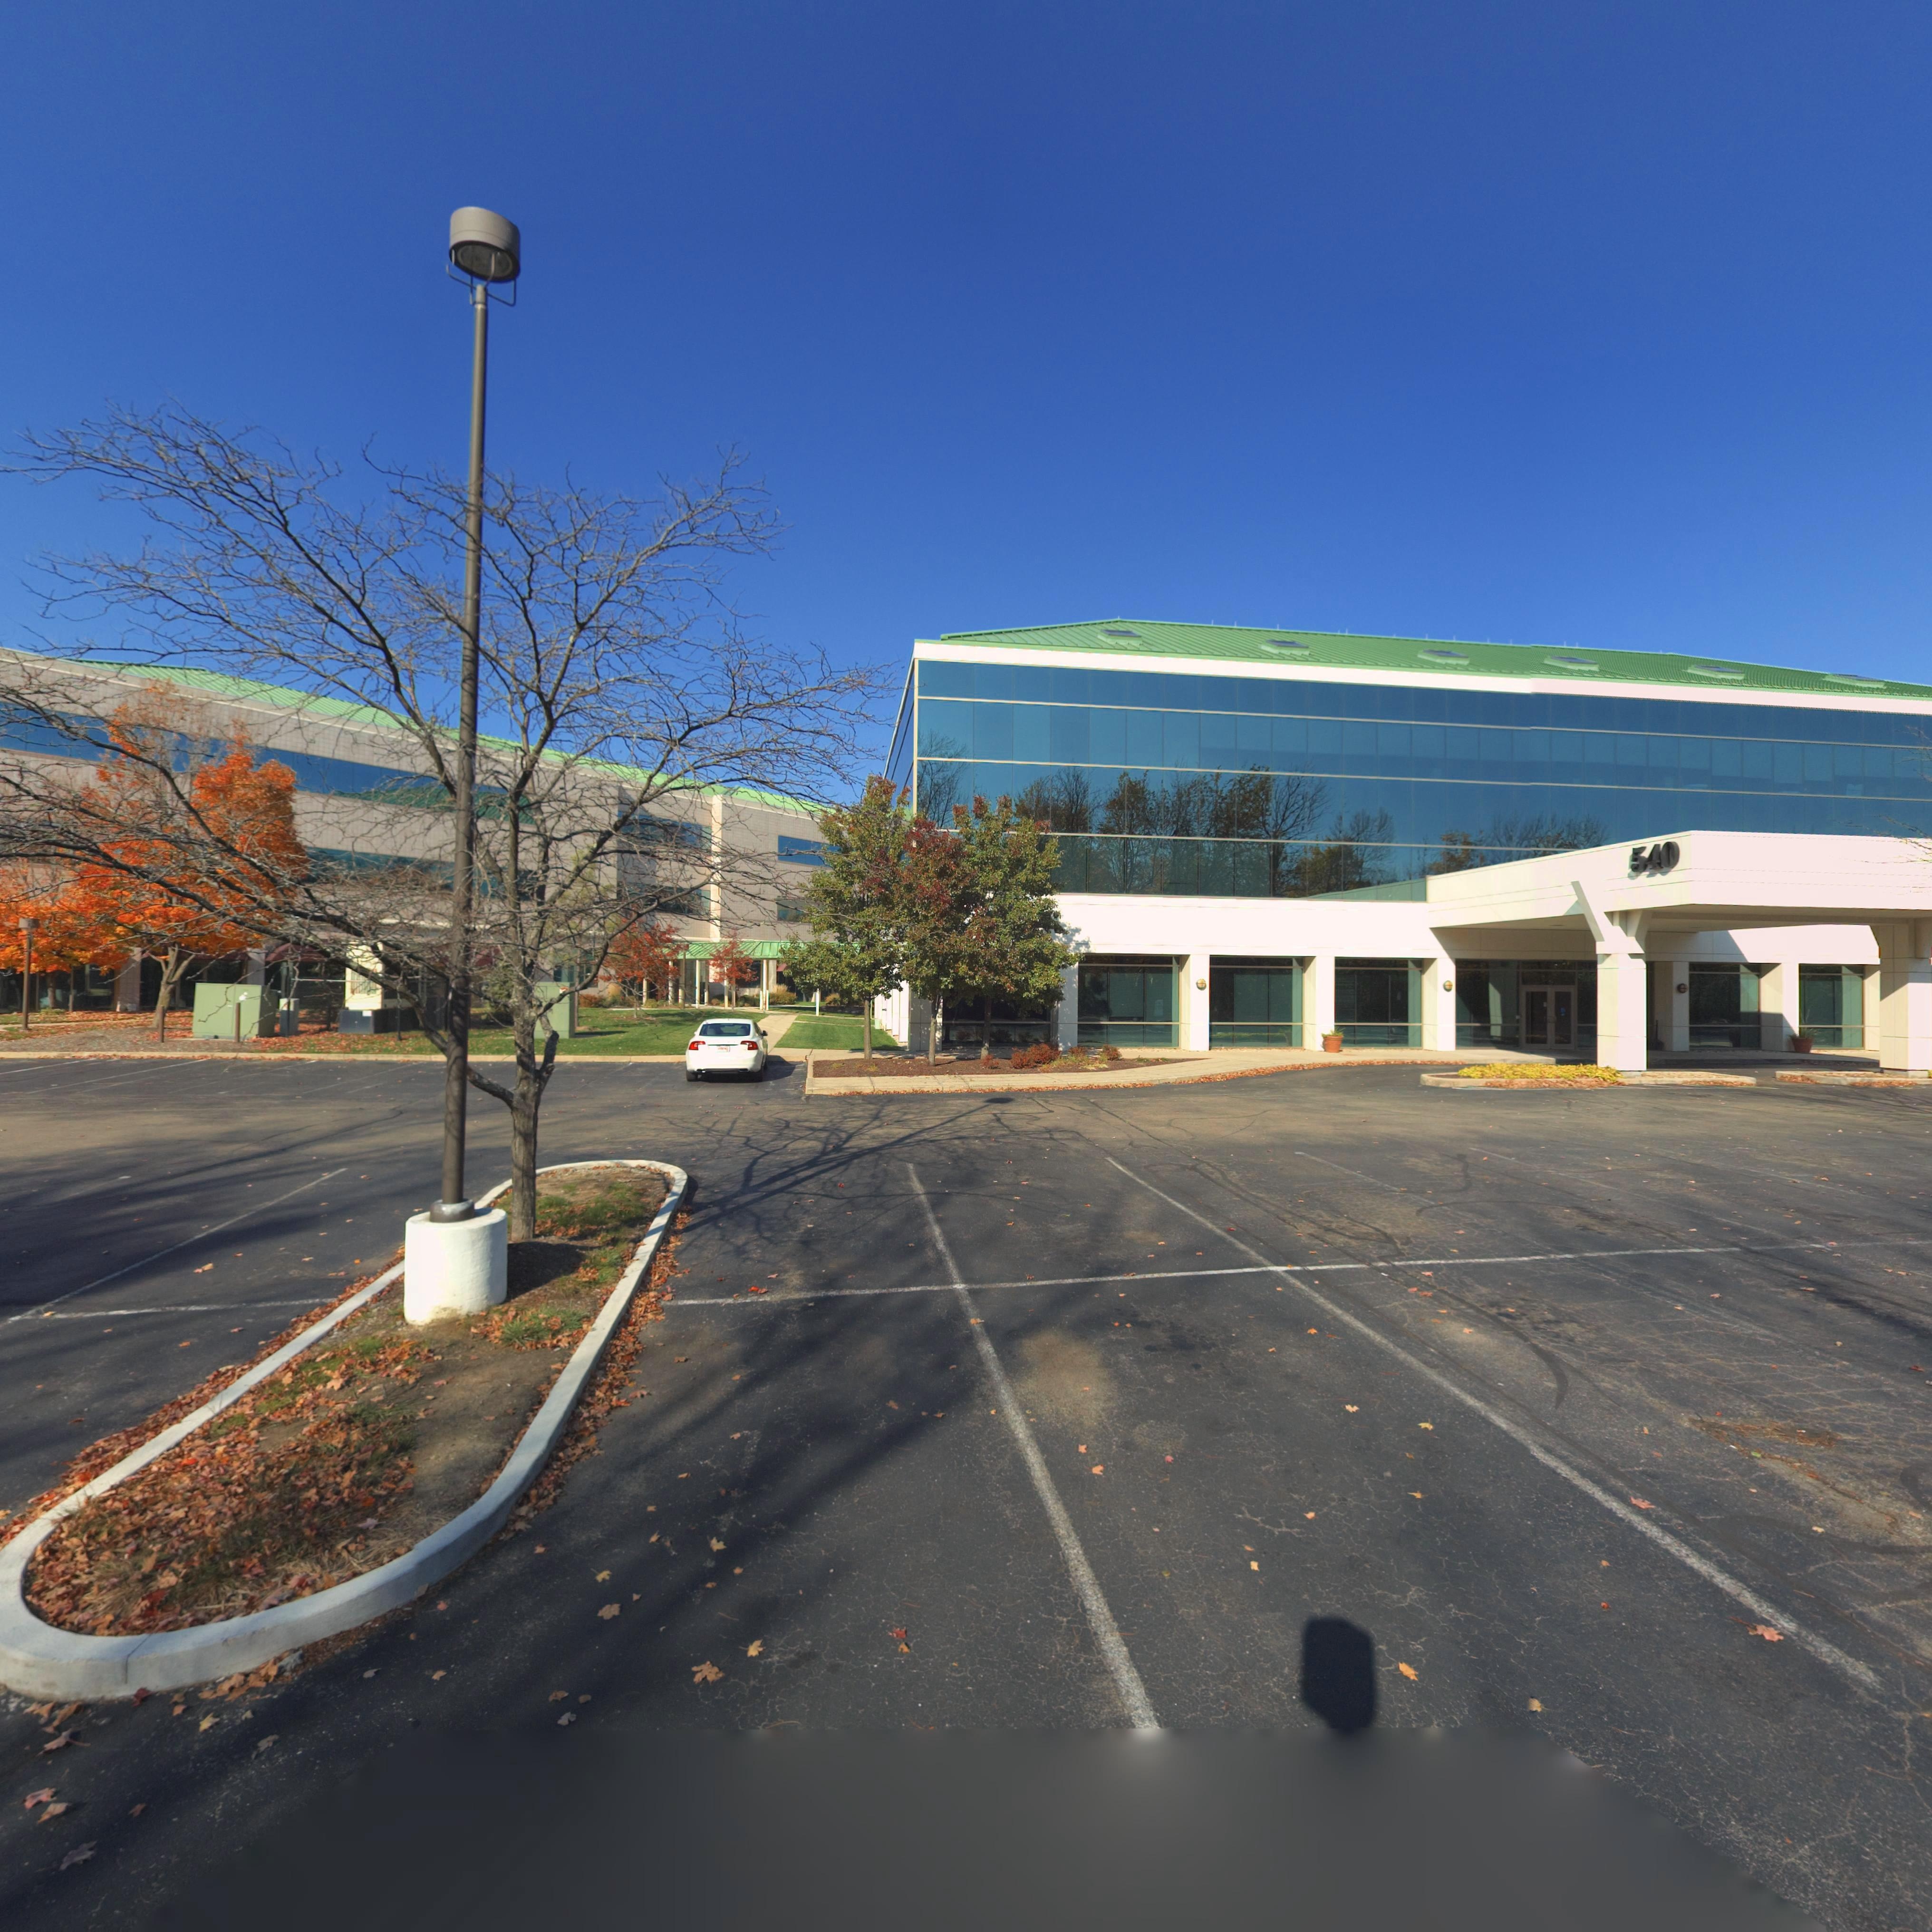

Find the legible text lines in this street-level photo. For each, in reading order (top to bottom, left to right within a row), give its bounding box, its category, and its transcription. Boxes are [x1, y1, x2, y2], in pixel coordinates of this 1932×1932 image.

[1630, 840, 1681, 873] StreetNumber: 540